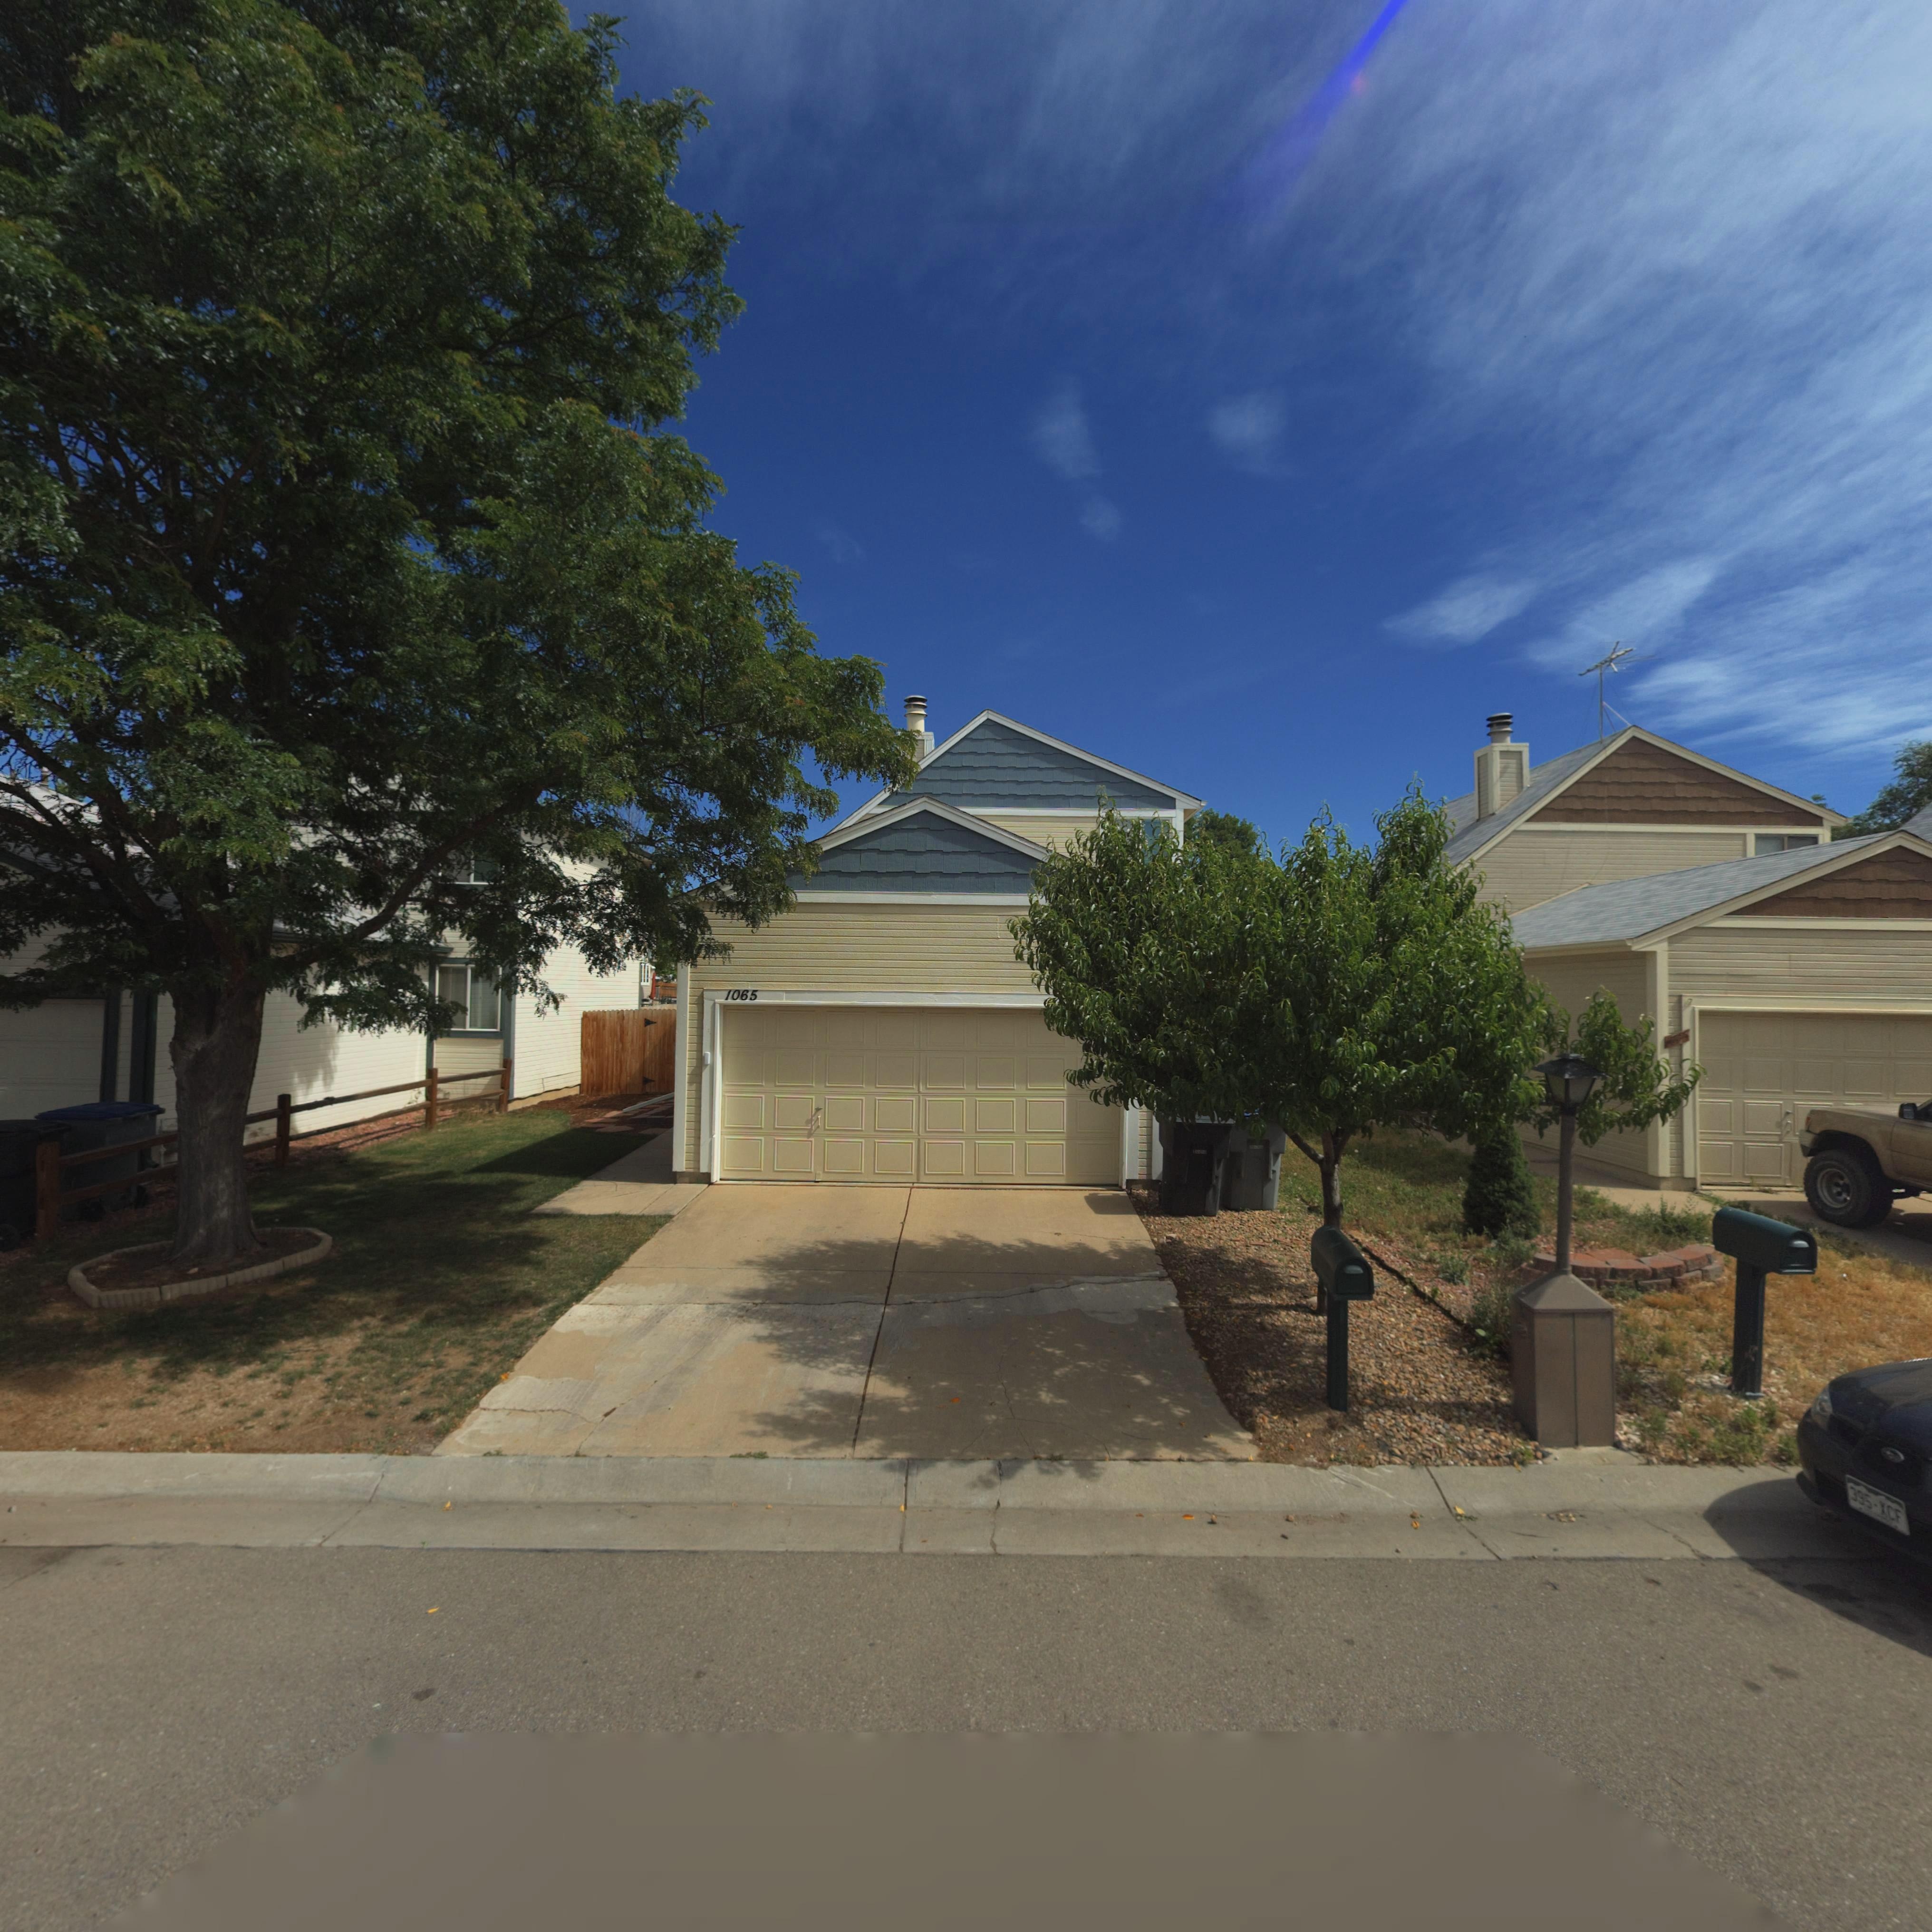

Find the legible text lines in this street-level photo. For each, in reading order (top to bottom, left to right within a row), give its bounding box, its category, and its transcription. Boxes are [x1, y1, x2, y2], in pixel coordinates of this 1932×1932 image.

[724, 989, 759, 1001] StreetNumber: 1065